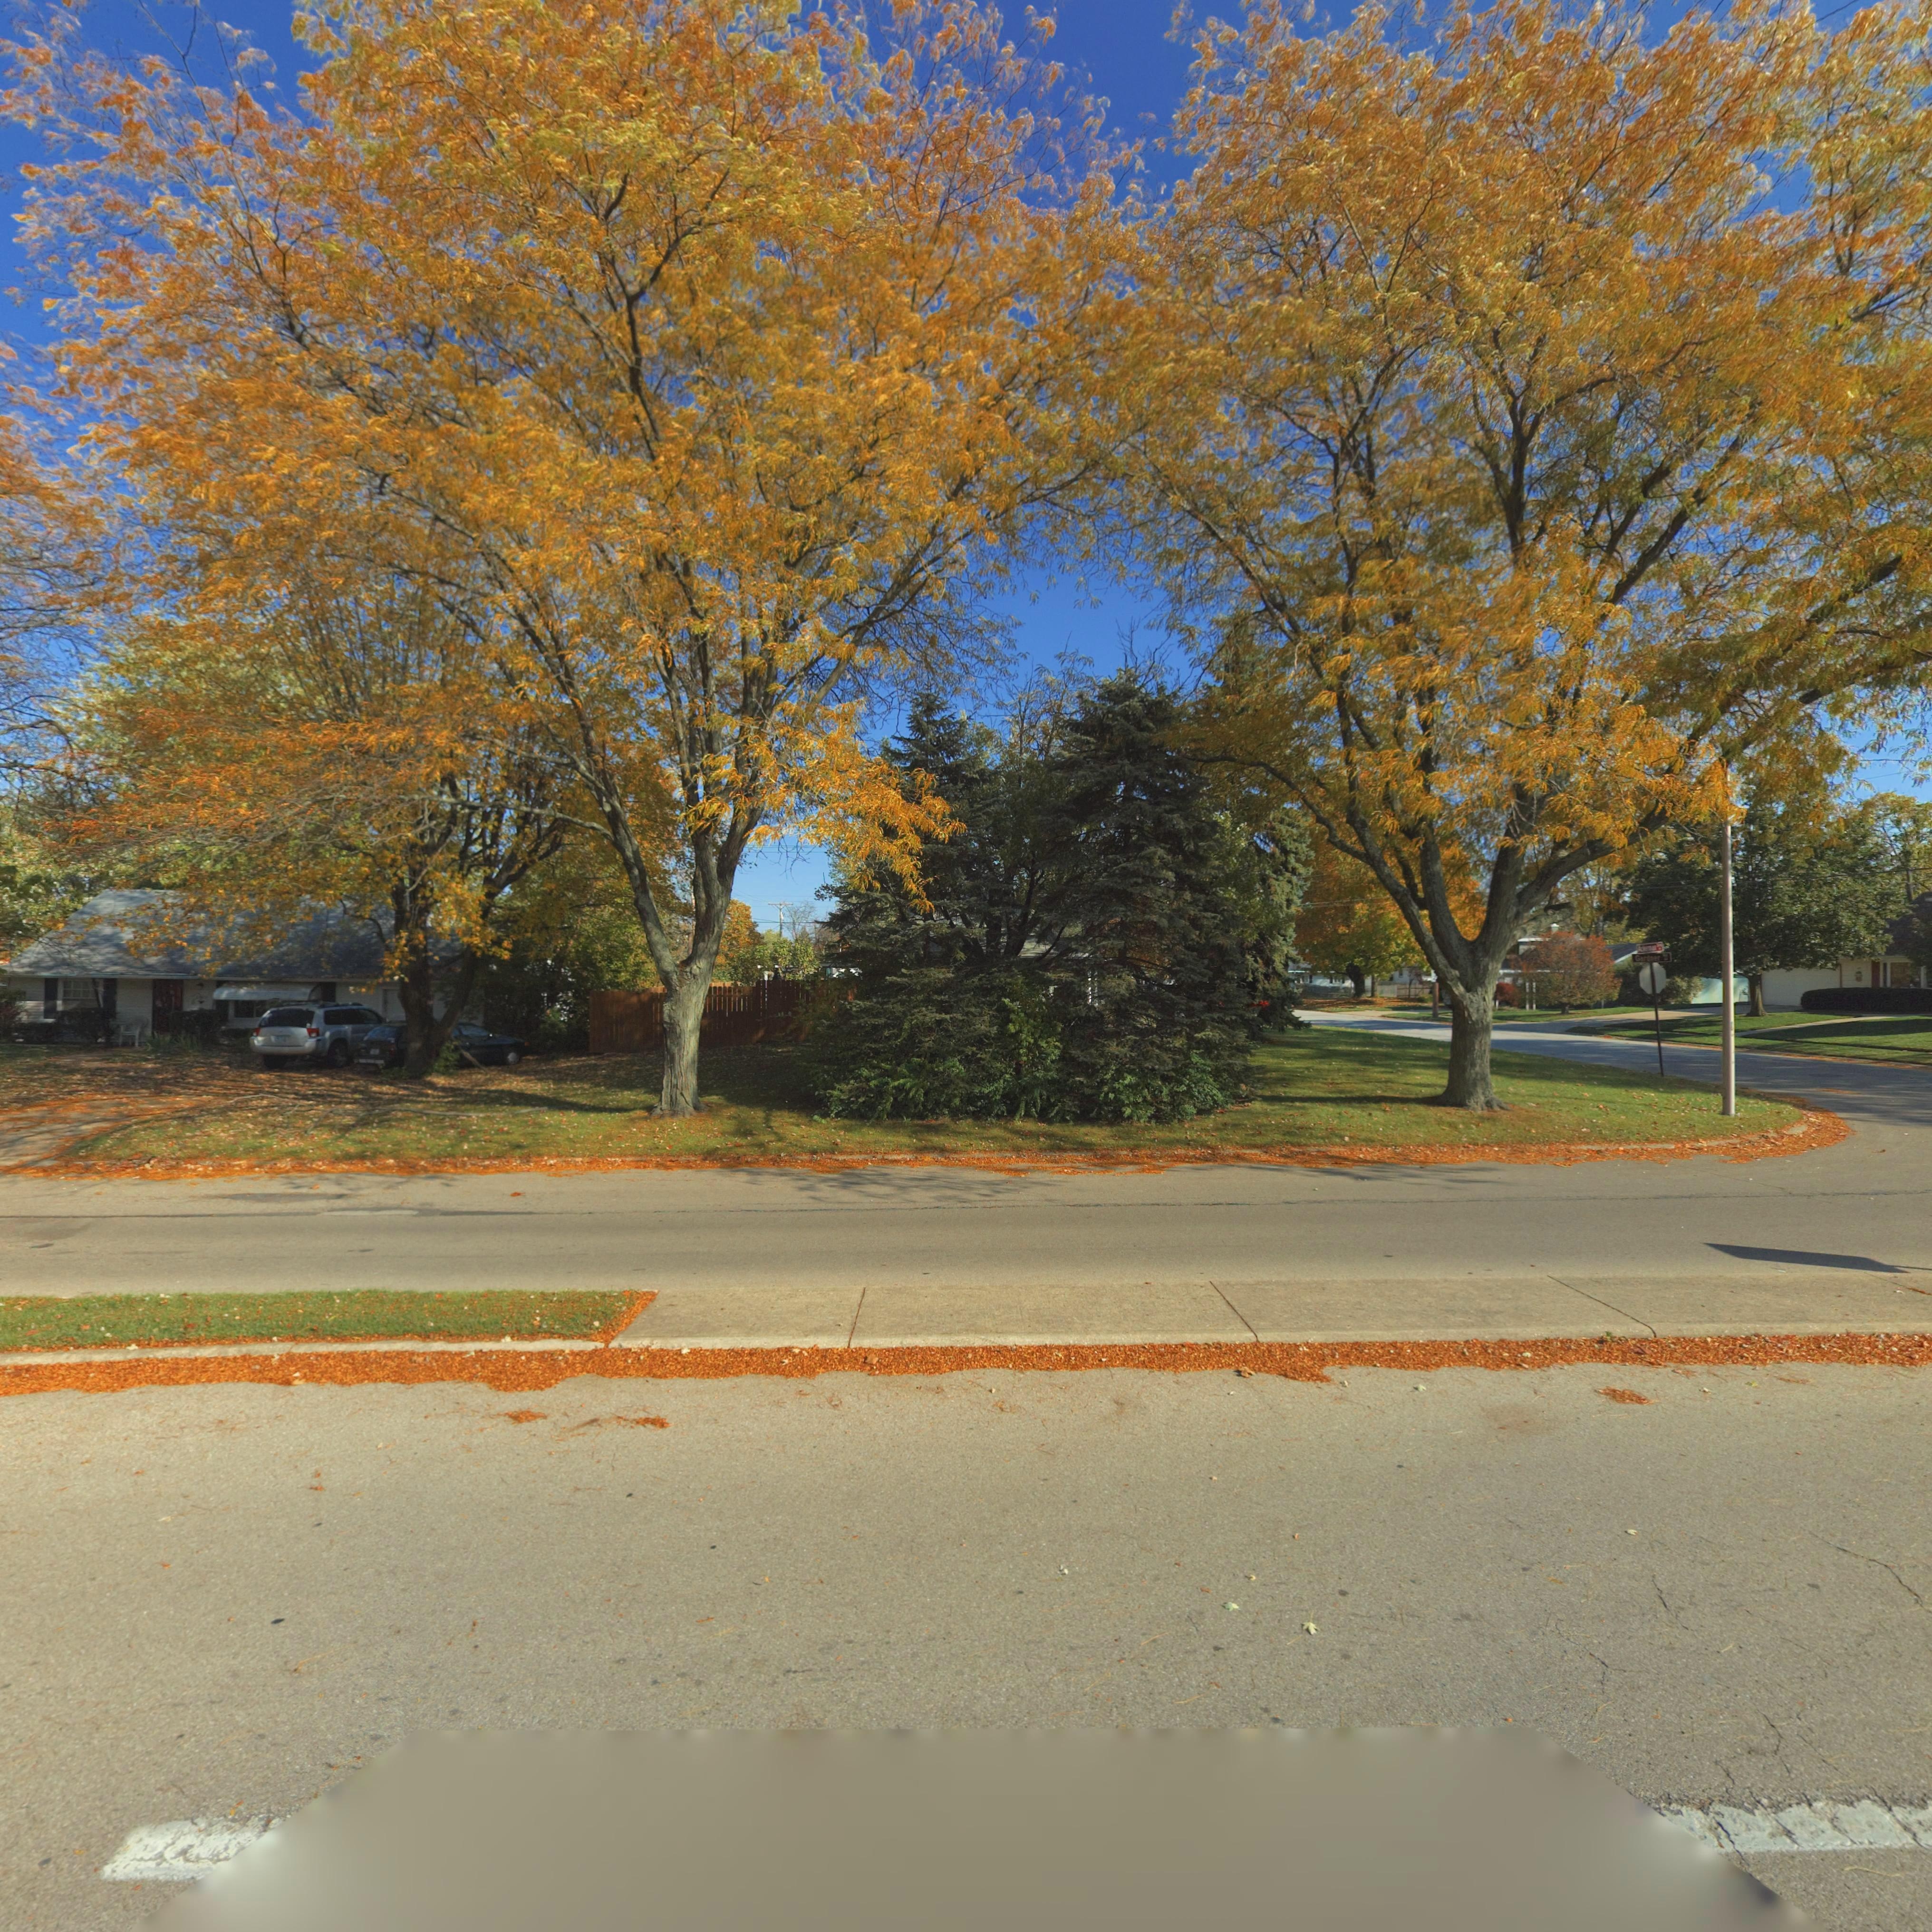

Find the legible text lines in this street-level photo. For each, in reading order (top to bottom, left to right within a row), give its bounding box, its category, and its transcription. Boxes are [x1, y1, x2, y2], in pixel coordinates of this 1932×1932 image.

[1638, 945, 1657, 953] StreetName: Acke*man
[1634, 954, 1661, 962] StreetName: Gardner